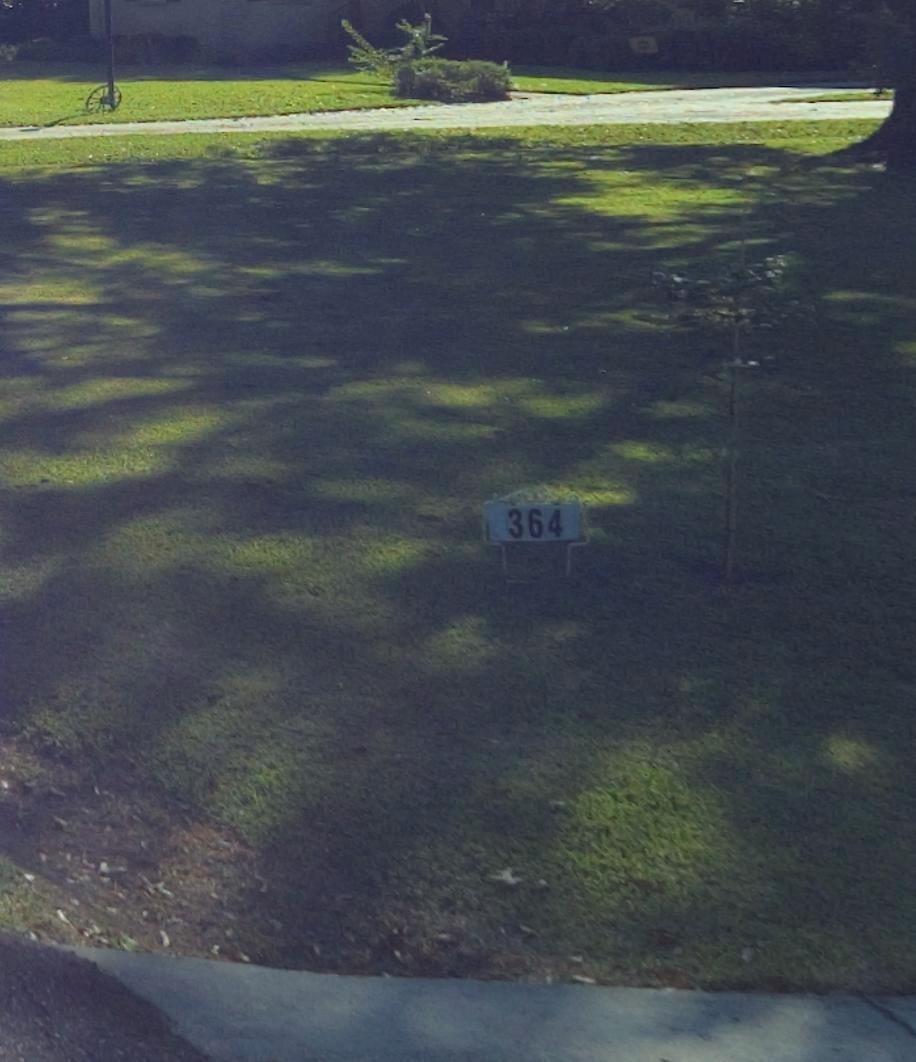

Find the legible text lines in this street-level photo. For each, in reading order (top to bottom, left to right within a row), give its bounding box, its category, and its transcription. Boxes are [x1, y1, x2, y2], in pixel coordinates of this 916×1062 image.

[505, 506, 565, 540] StreetNumber: 364